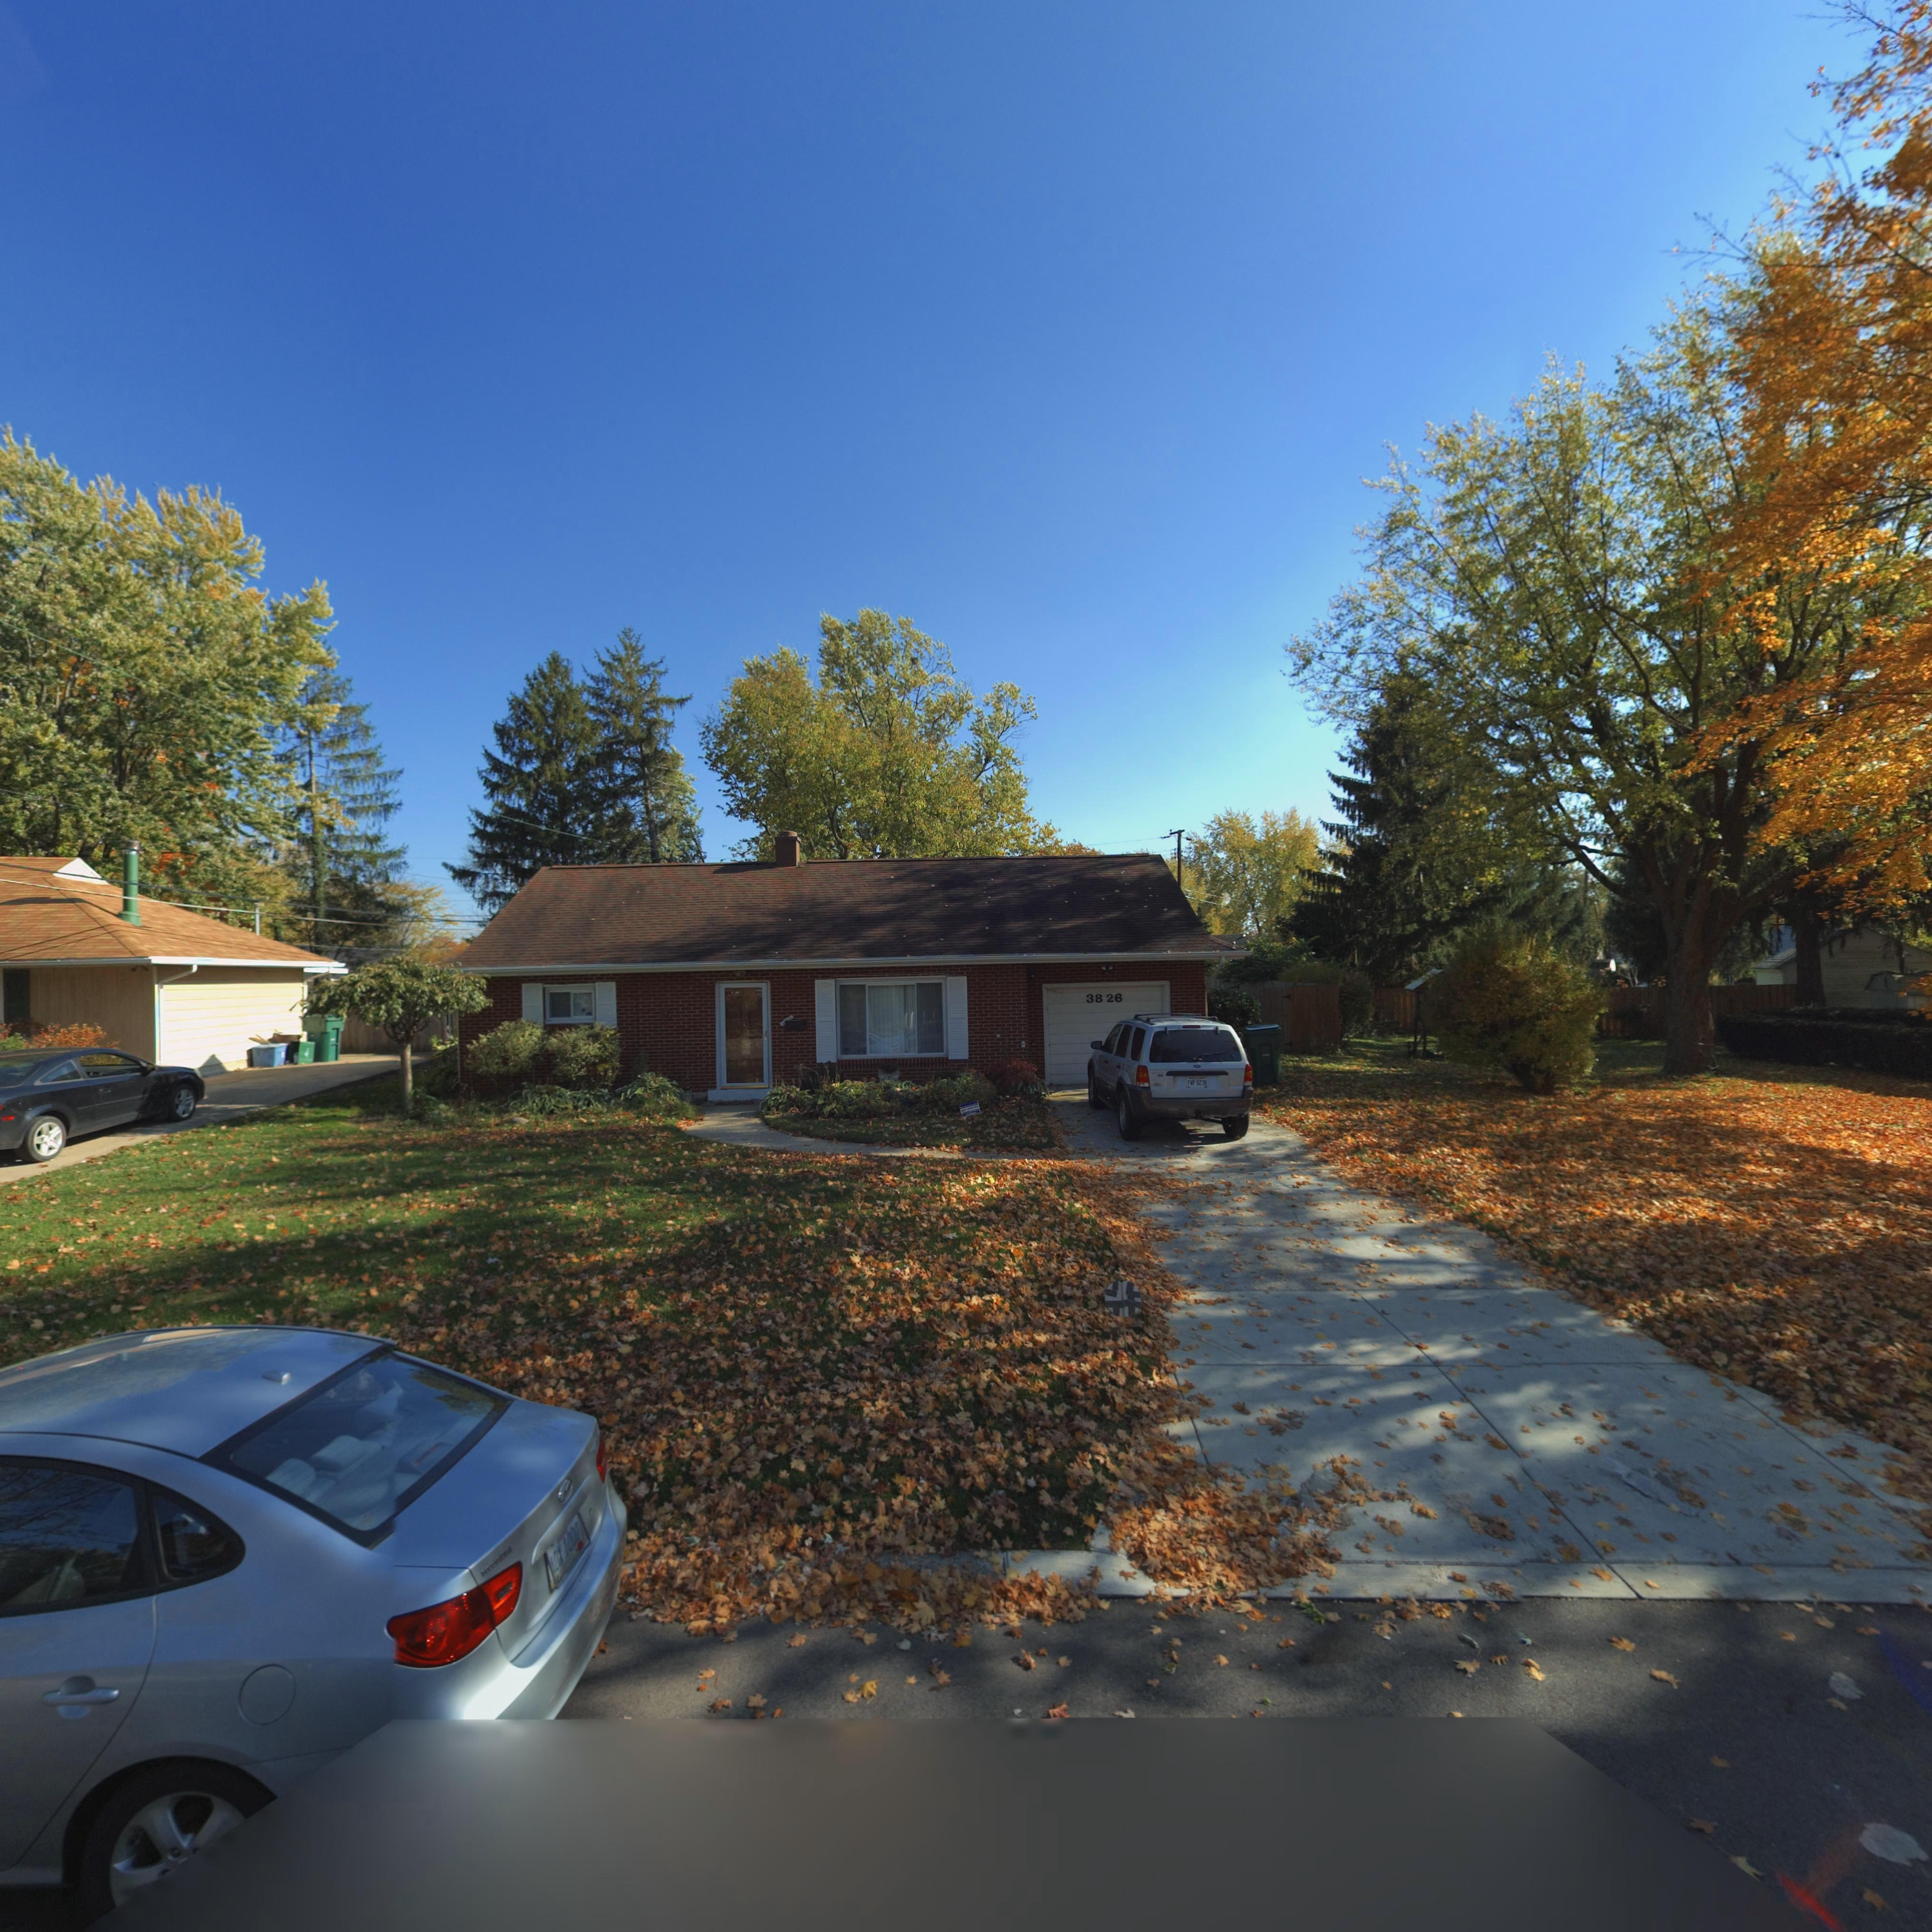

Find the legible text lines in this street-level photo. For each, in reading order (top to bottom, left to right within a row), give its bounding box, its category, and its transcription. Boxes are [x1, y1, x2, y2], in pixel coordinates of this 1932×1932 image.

[1085, 992, 1123, 1005] StreetNumber: 3826
[1187, 1079, 1207, 1086] None: FWP 823*